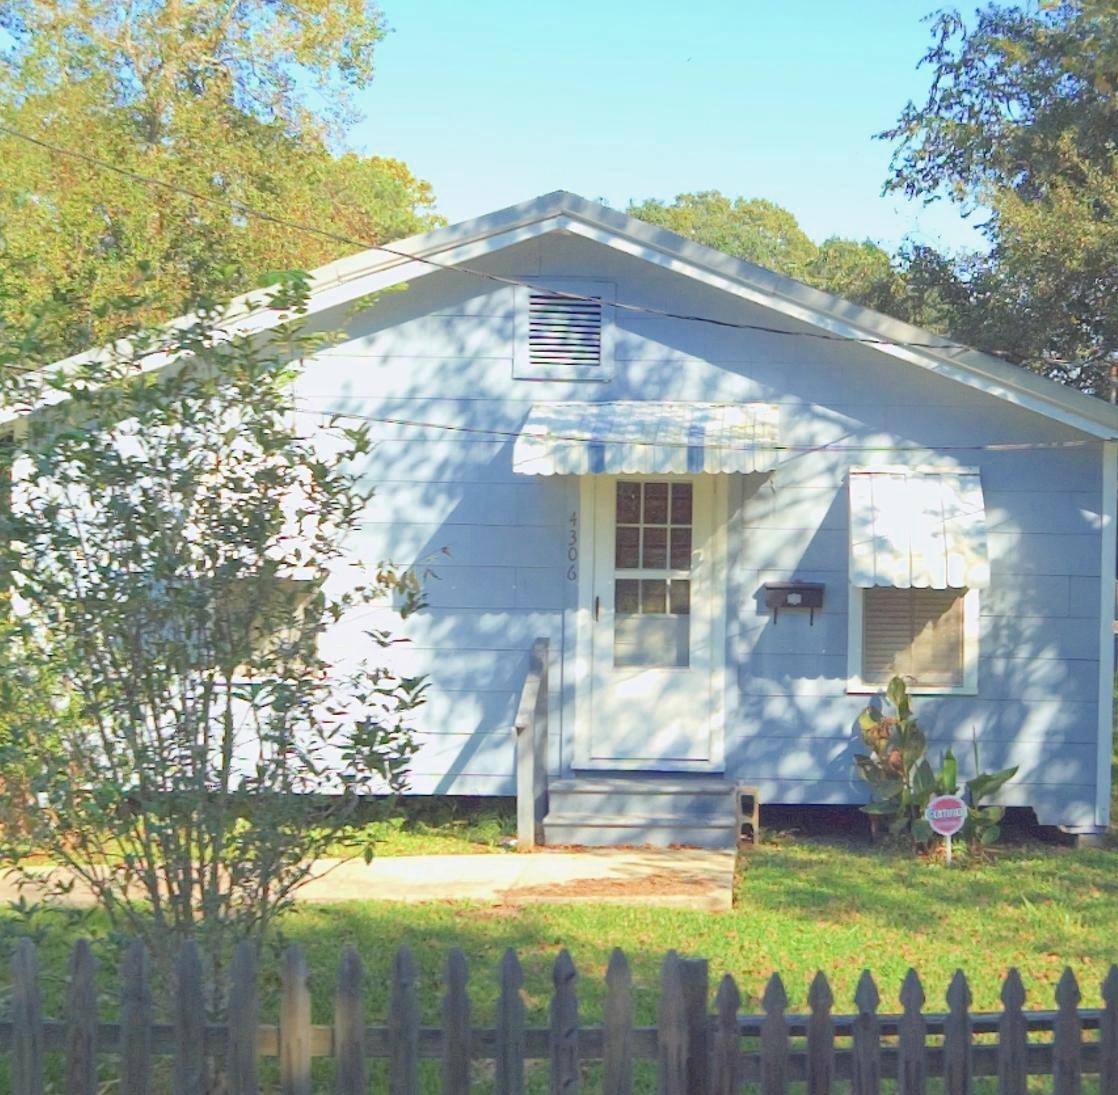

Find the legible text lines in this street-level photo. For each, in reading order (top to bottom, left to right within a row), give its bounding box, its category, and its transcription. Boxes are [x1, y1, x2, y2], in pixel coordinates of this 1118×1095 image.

[566, 510, 578, 581] StreetNumber: 4306